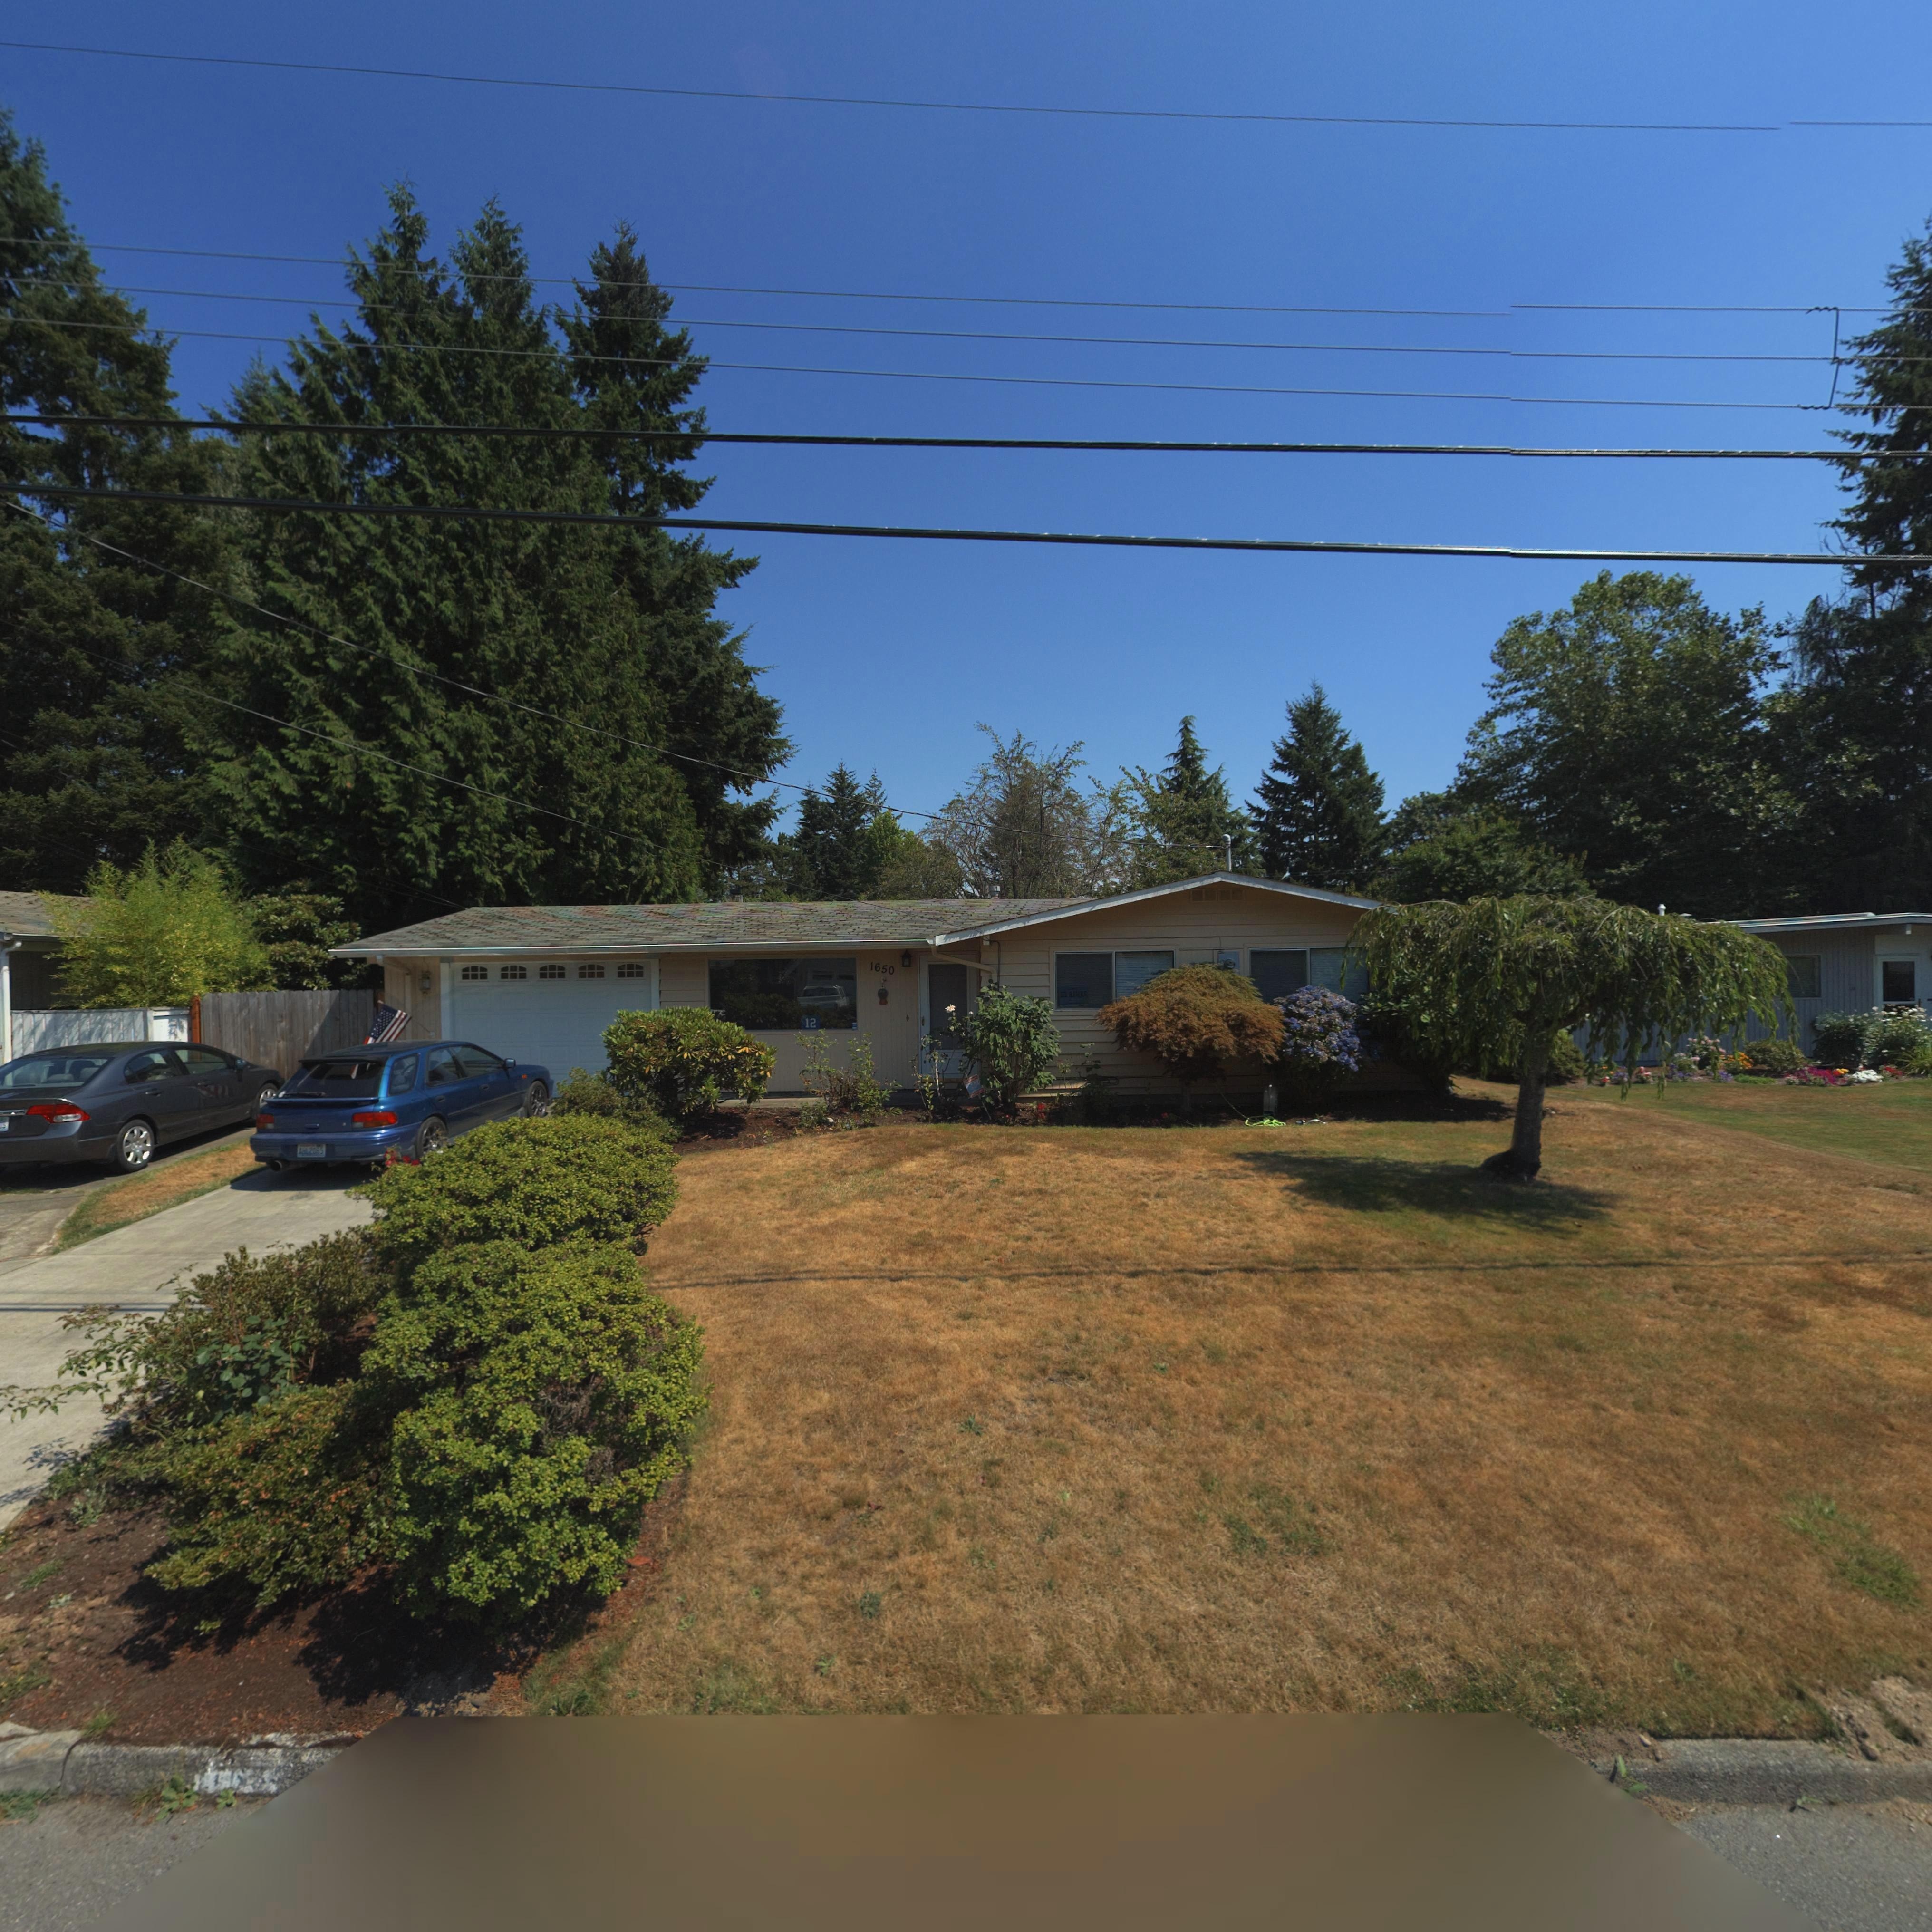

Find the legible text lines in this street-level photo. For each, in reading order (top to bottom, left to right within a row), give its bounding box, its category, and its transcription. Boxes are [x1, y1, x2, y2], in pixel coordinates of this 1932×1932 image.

[870, 961, 894, 975] StreetNumber: 1650